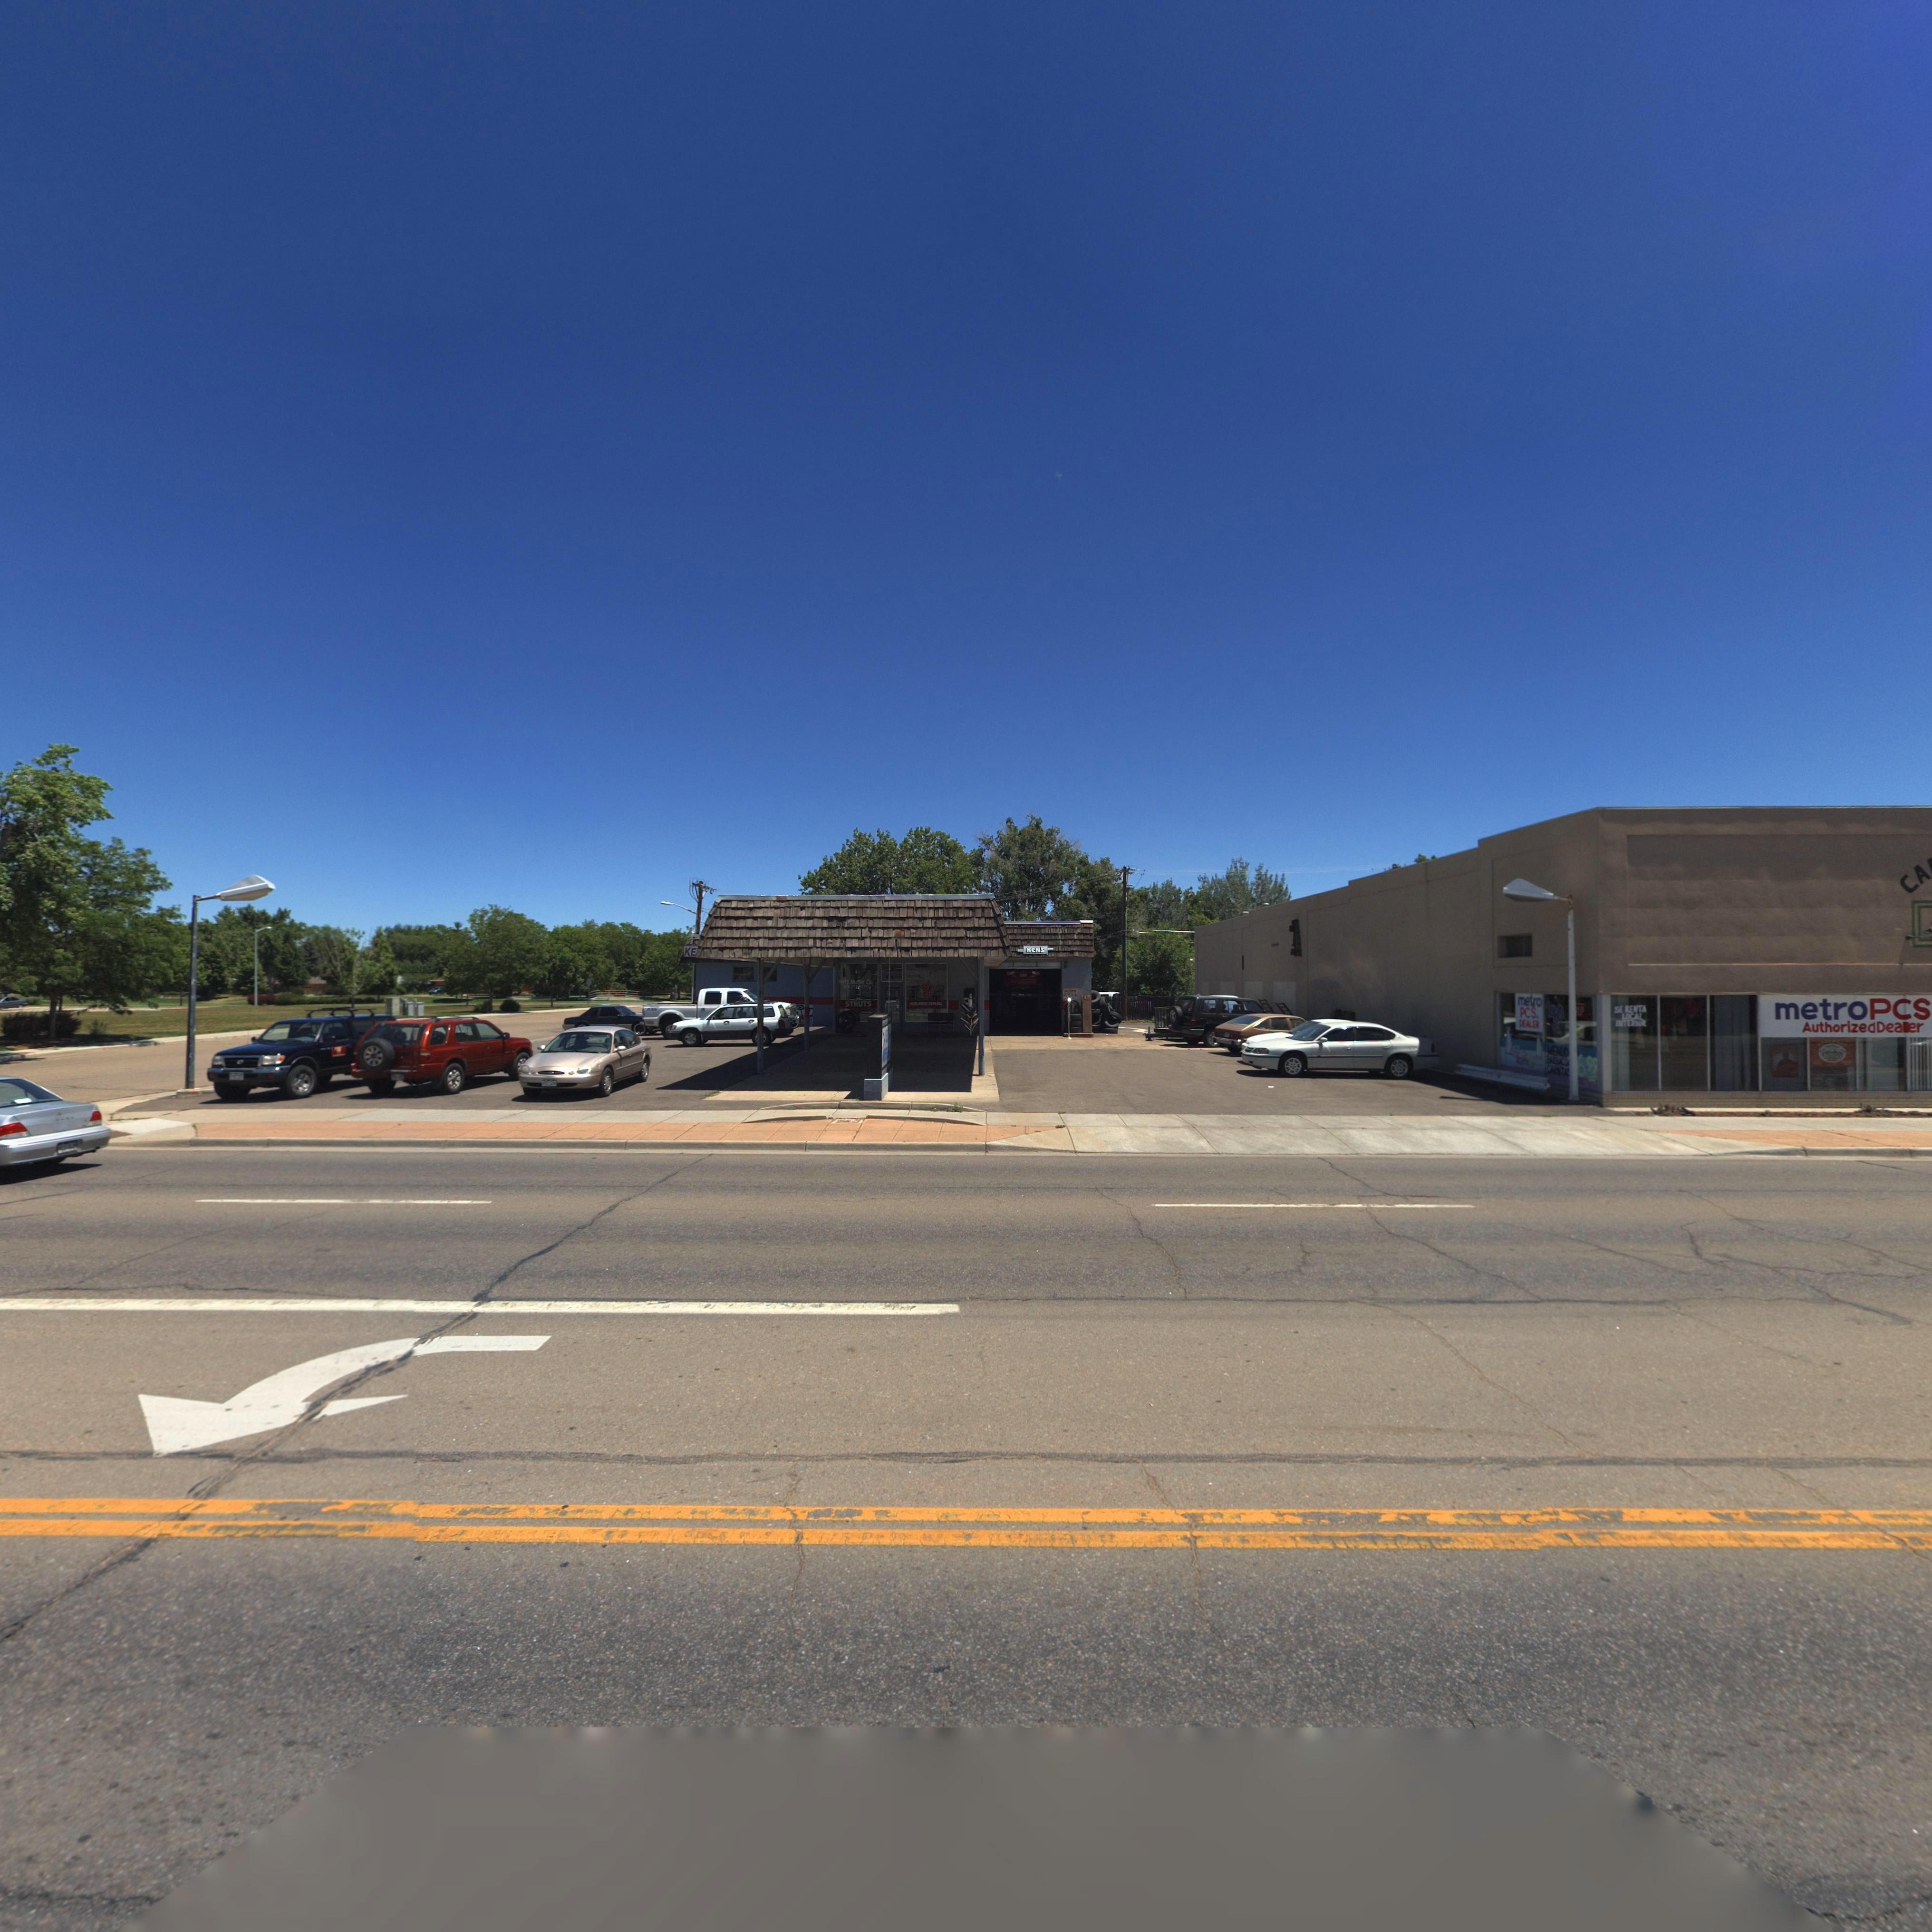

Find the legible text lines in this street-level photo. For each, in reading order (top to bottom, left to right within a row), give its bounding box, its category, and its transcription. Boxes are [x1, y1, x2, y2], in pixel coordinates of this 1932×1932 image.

[1026, 946, 1044, 953] BusinessName: KEN'S
[837, 979, 872, 985] BusinessName: **n's Mu**** Co.